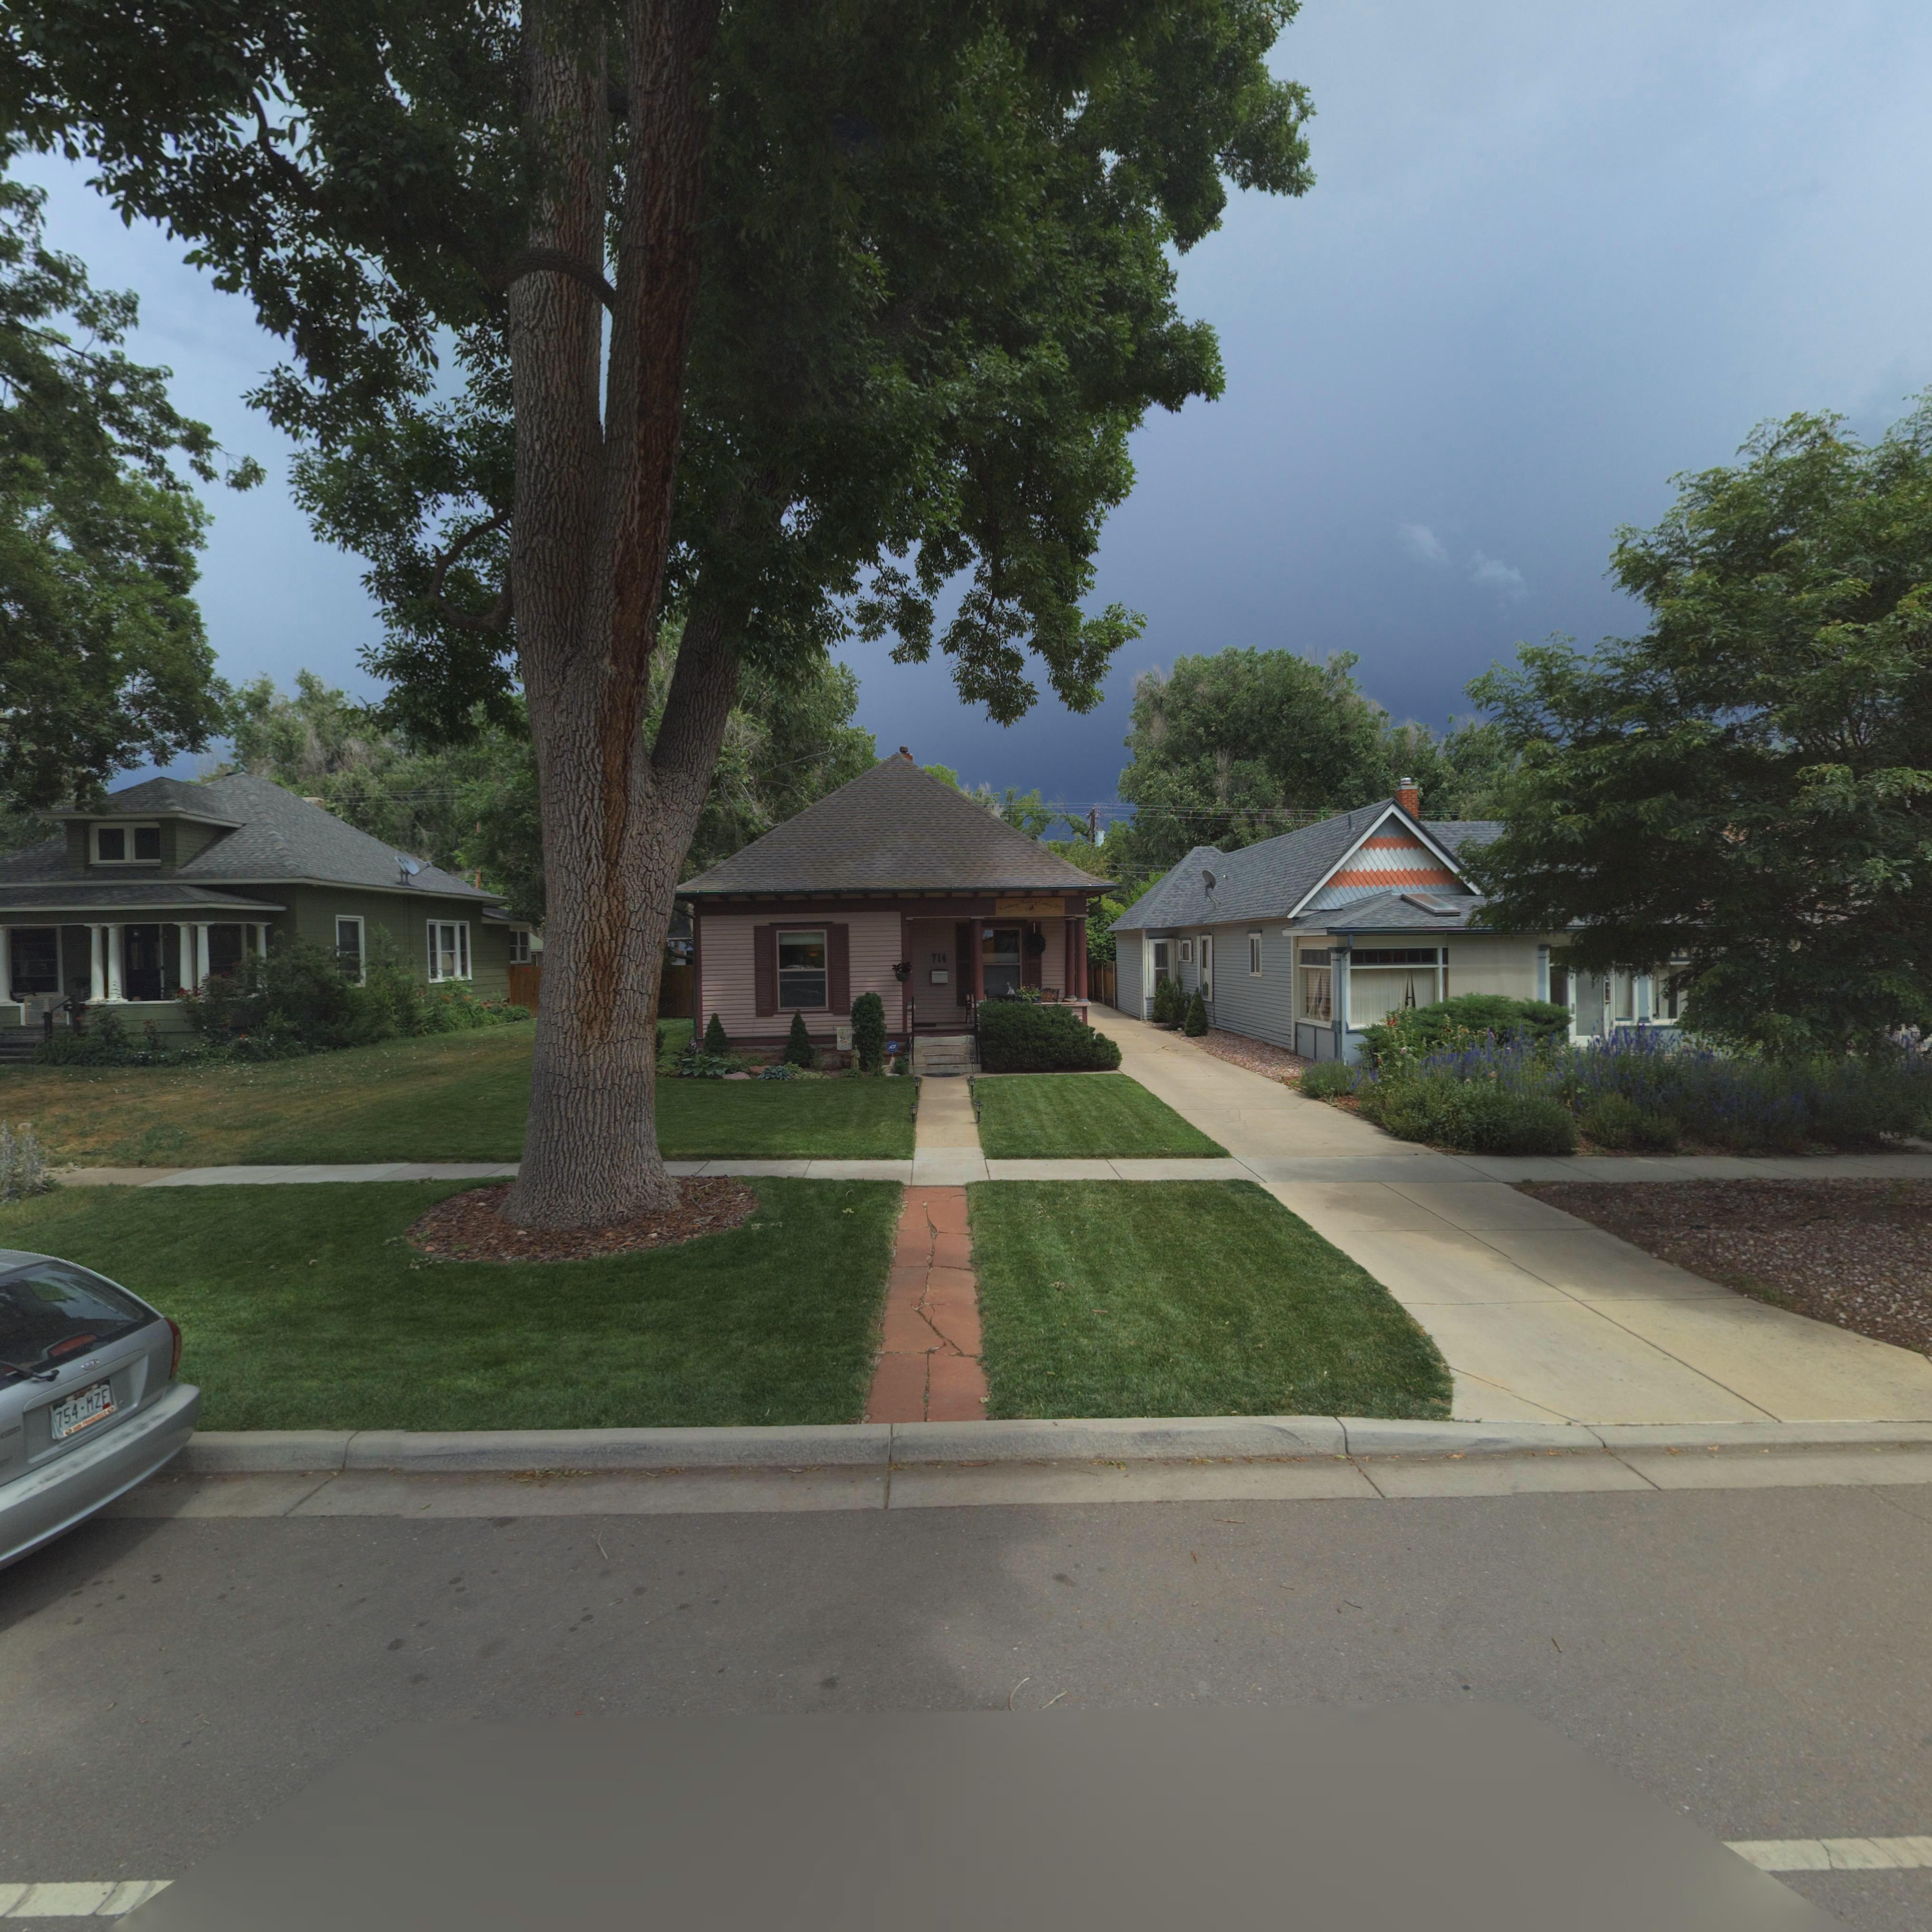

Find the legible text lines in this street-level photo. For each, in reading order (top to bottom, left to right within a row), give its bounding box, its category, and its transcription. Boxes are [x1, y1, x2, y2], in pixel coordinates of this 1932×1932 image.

[996, 898, 1064, 913] BusinessName: Harmony H**l**g C**t*r PL